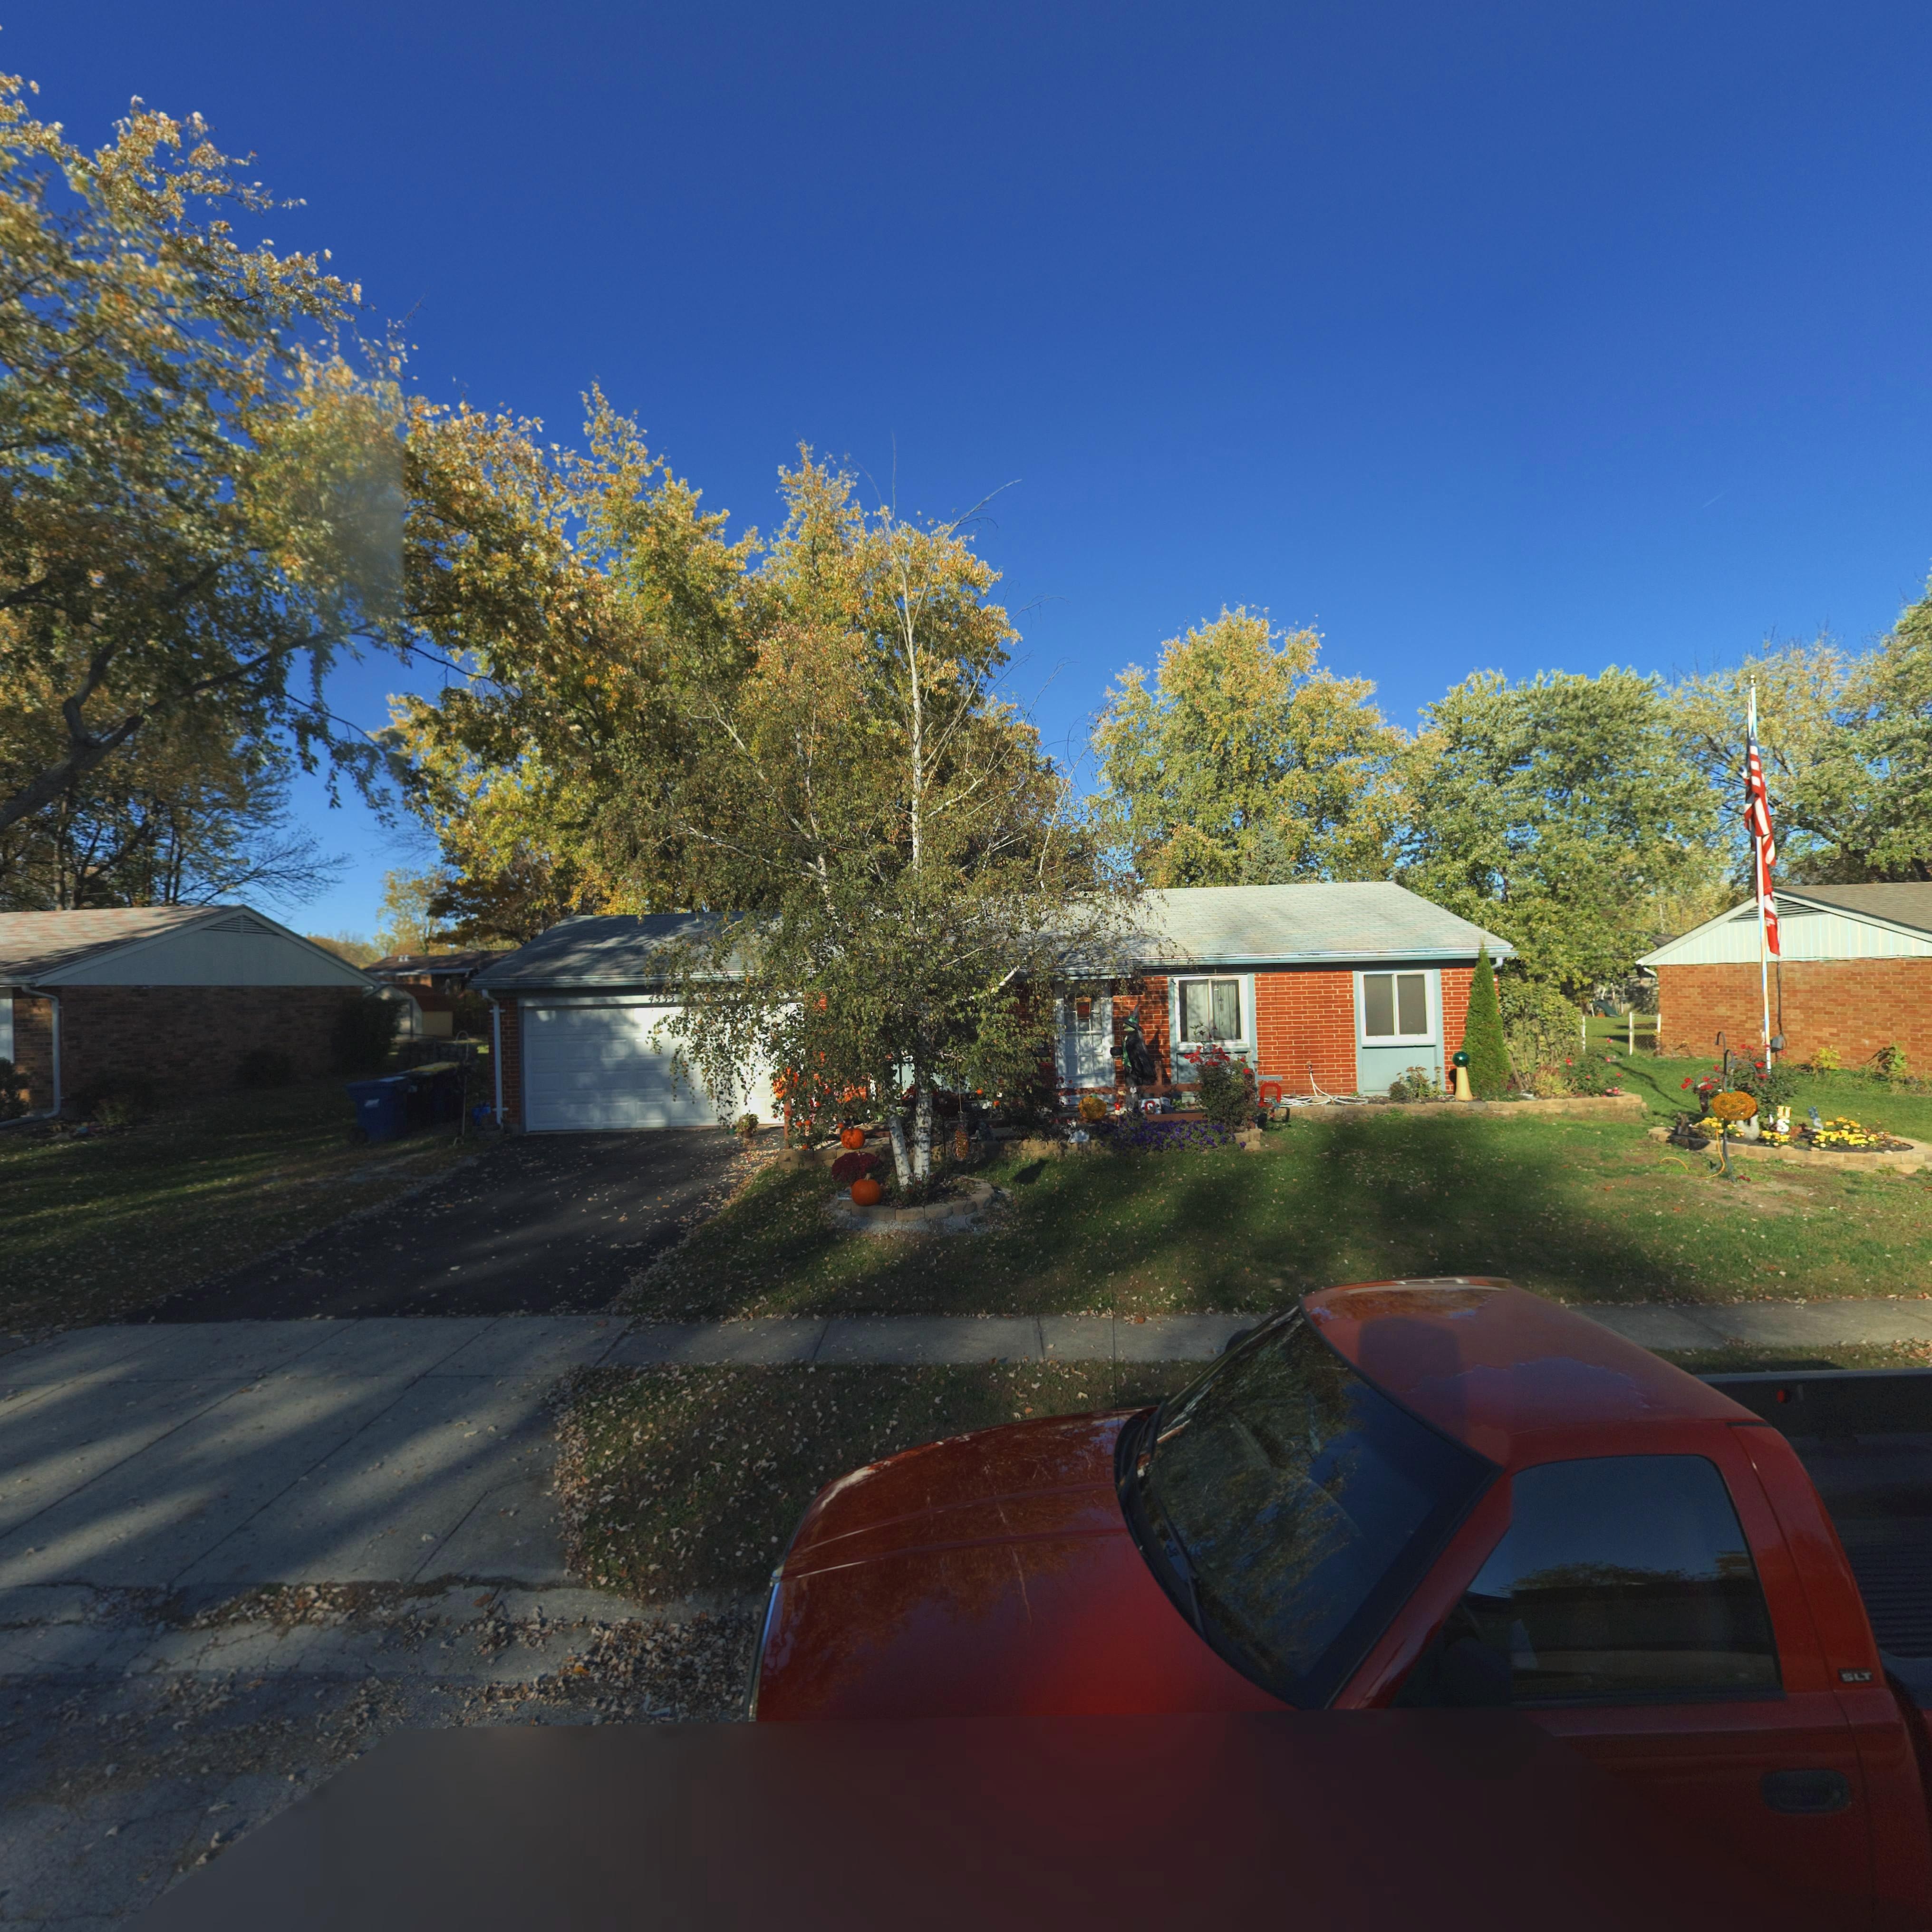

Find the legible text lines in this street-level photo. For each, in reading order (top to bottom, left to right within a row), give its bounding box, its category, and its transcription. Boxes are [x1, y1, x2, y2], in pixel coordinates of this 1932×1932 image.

[647, 994, 676, 1004] StreetNumber: 4533